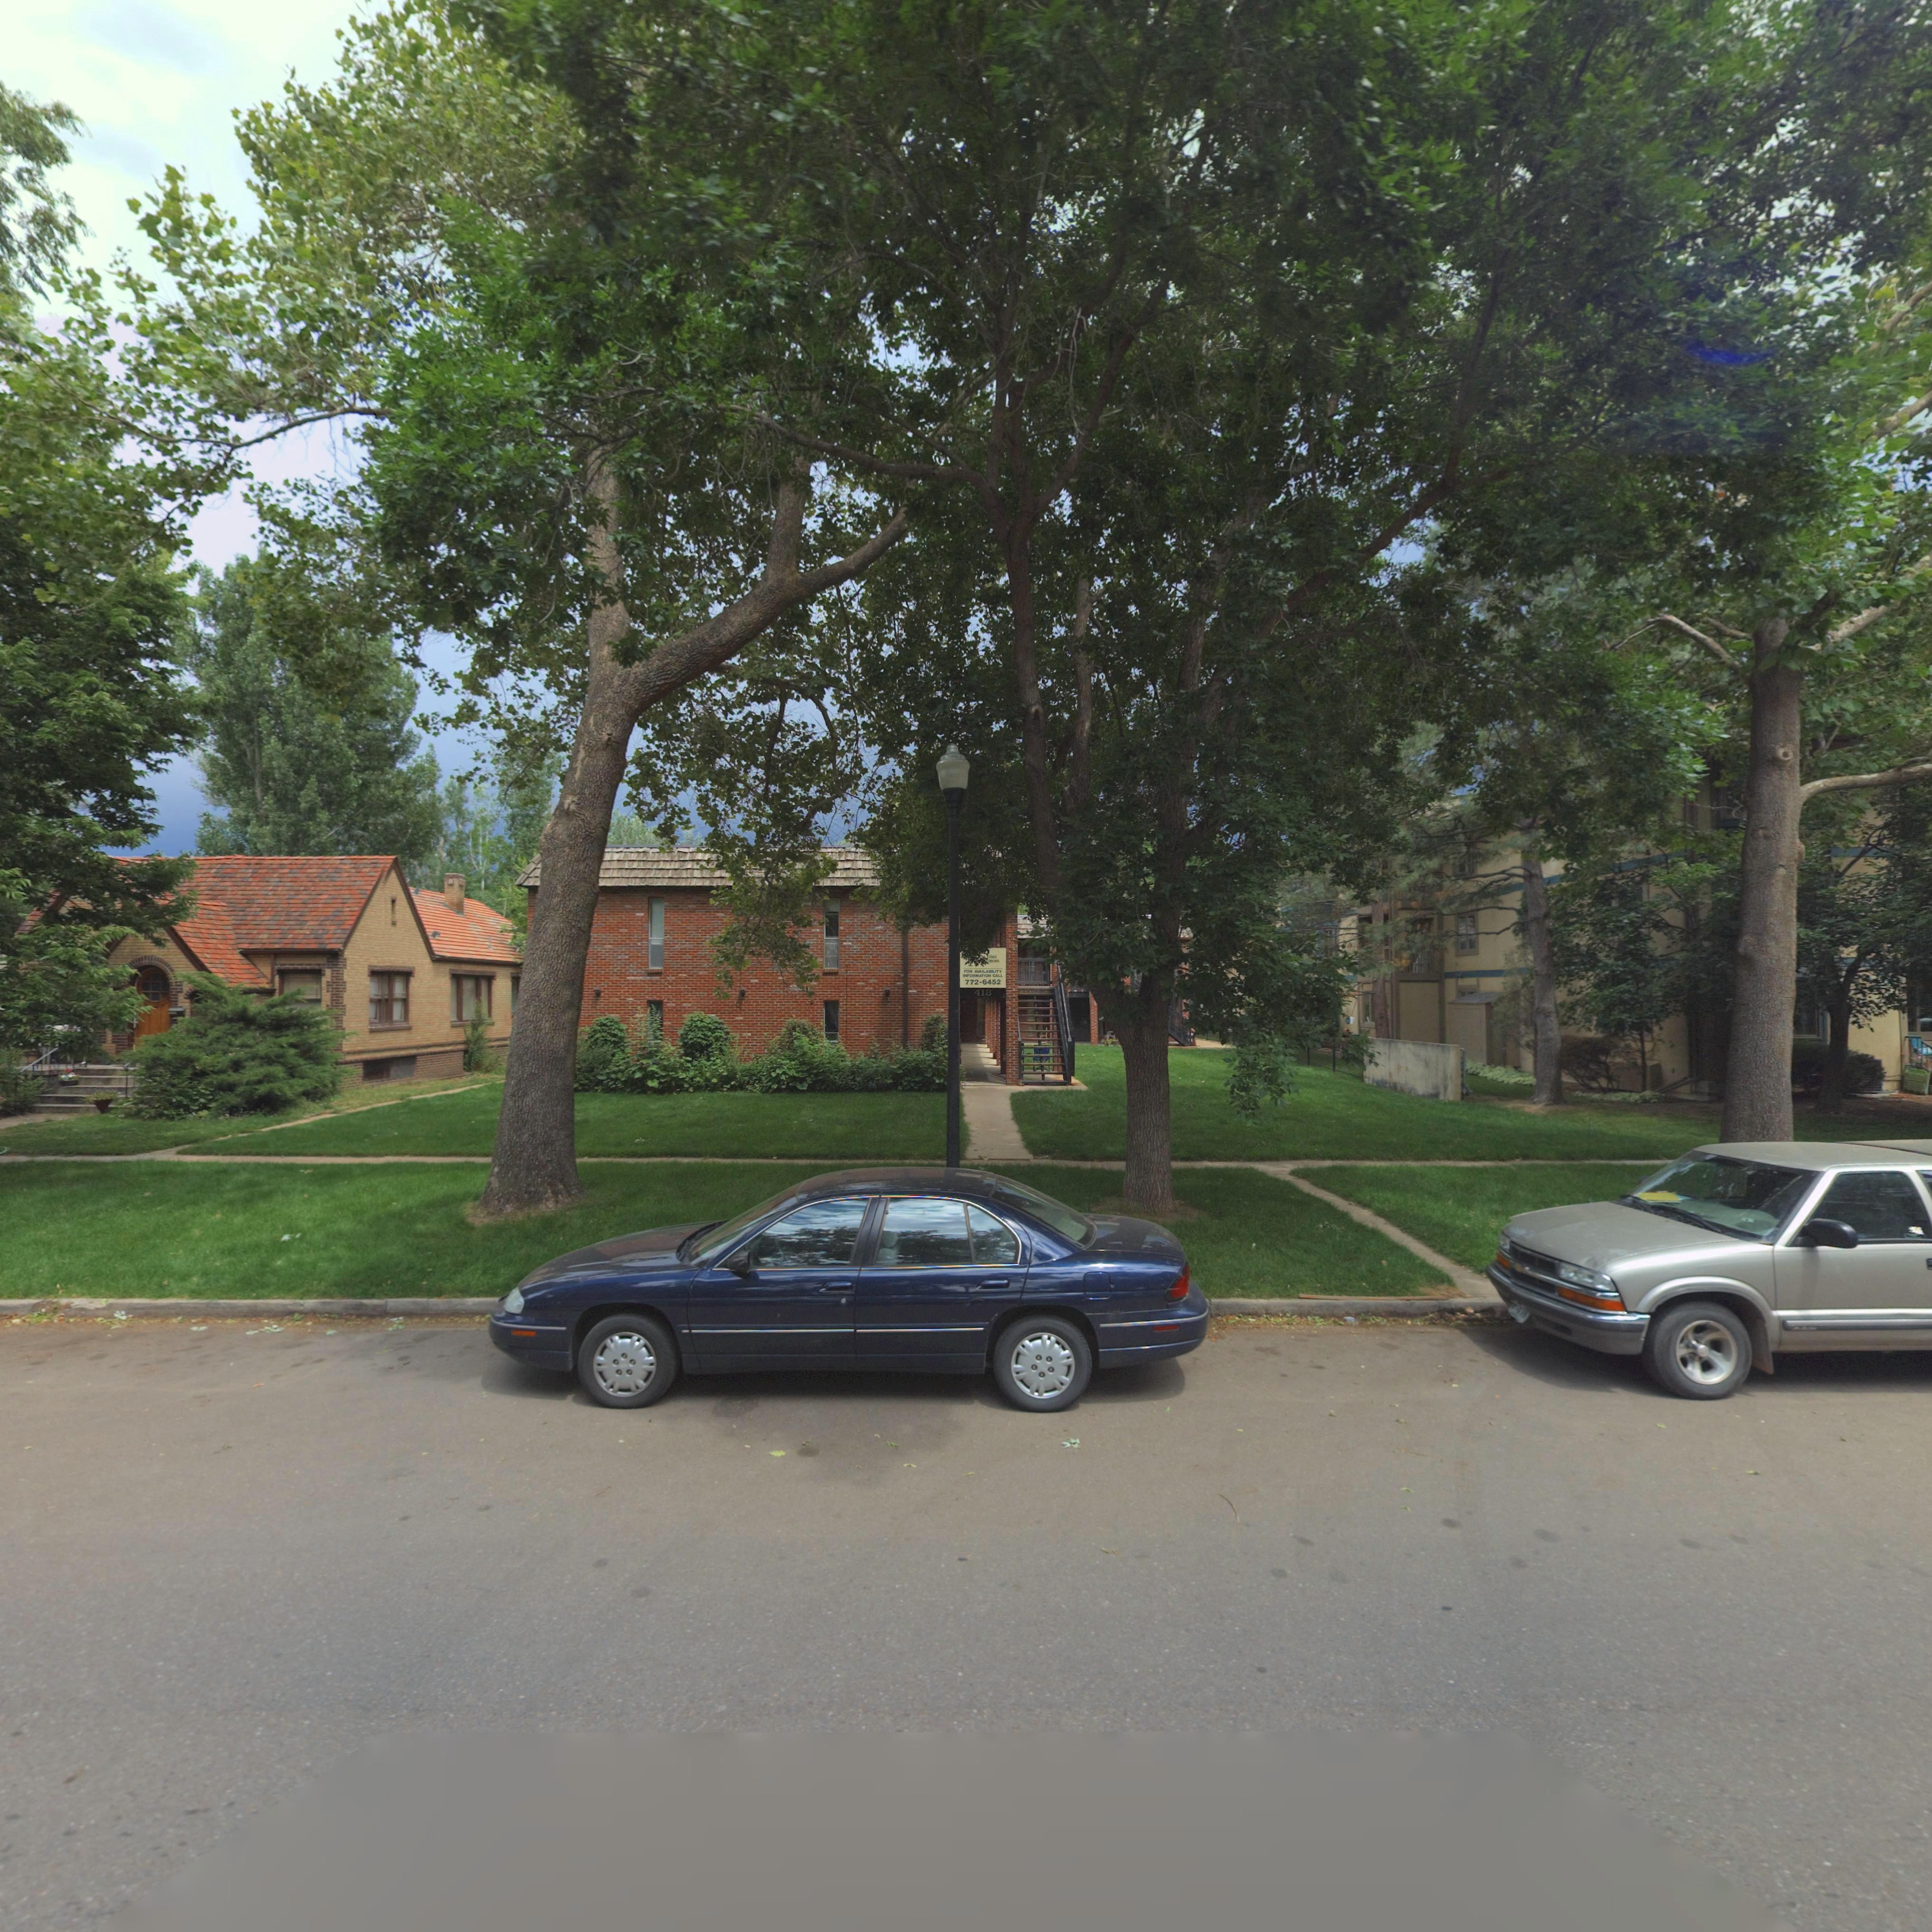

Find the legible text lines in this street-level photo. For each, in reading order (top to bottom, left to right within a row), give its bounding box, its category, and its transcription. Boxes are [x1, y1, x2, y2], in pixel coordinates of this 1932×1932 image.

[988, 958, 1000, 963] BusinessName: ments
[973, 988, 992, 996] StreetNumber: 418
[1902, 1014, 1906, 1020] StreetNumber: 4